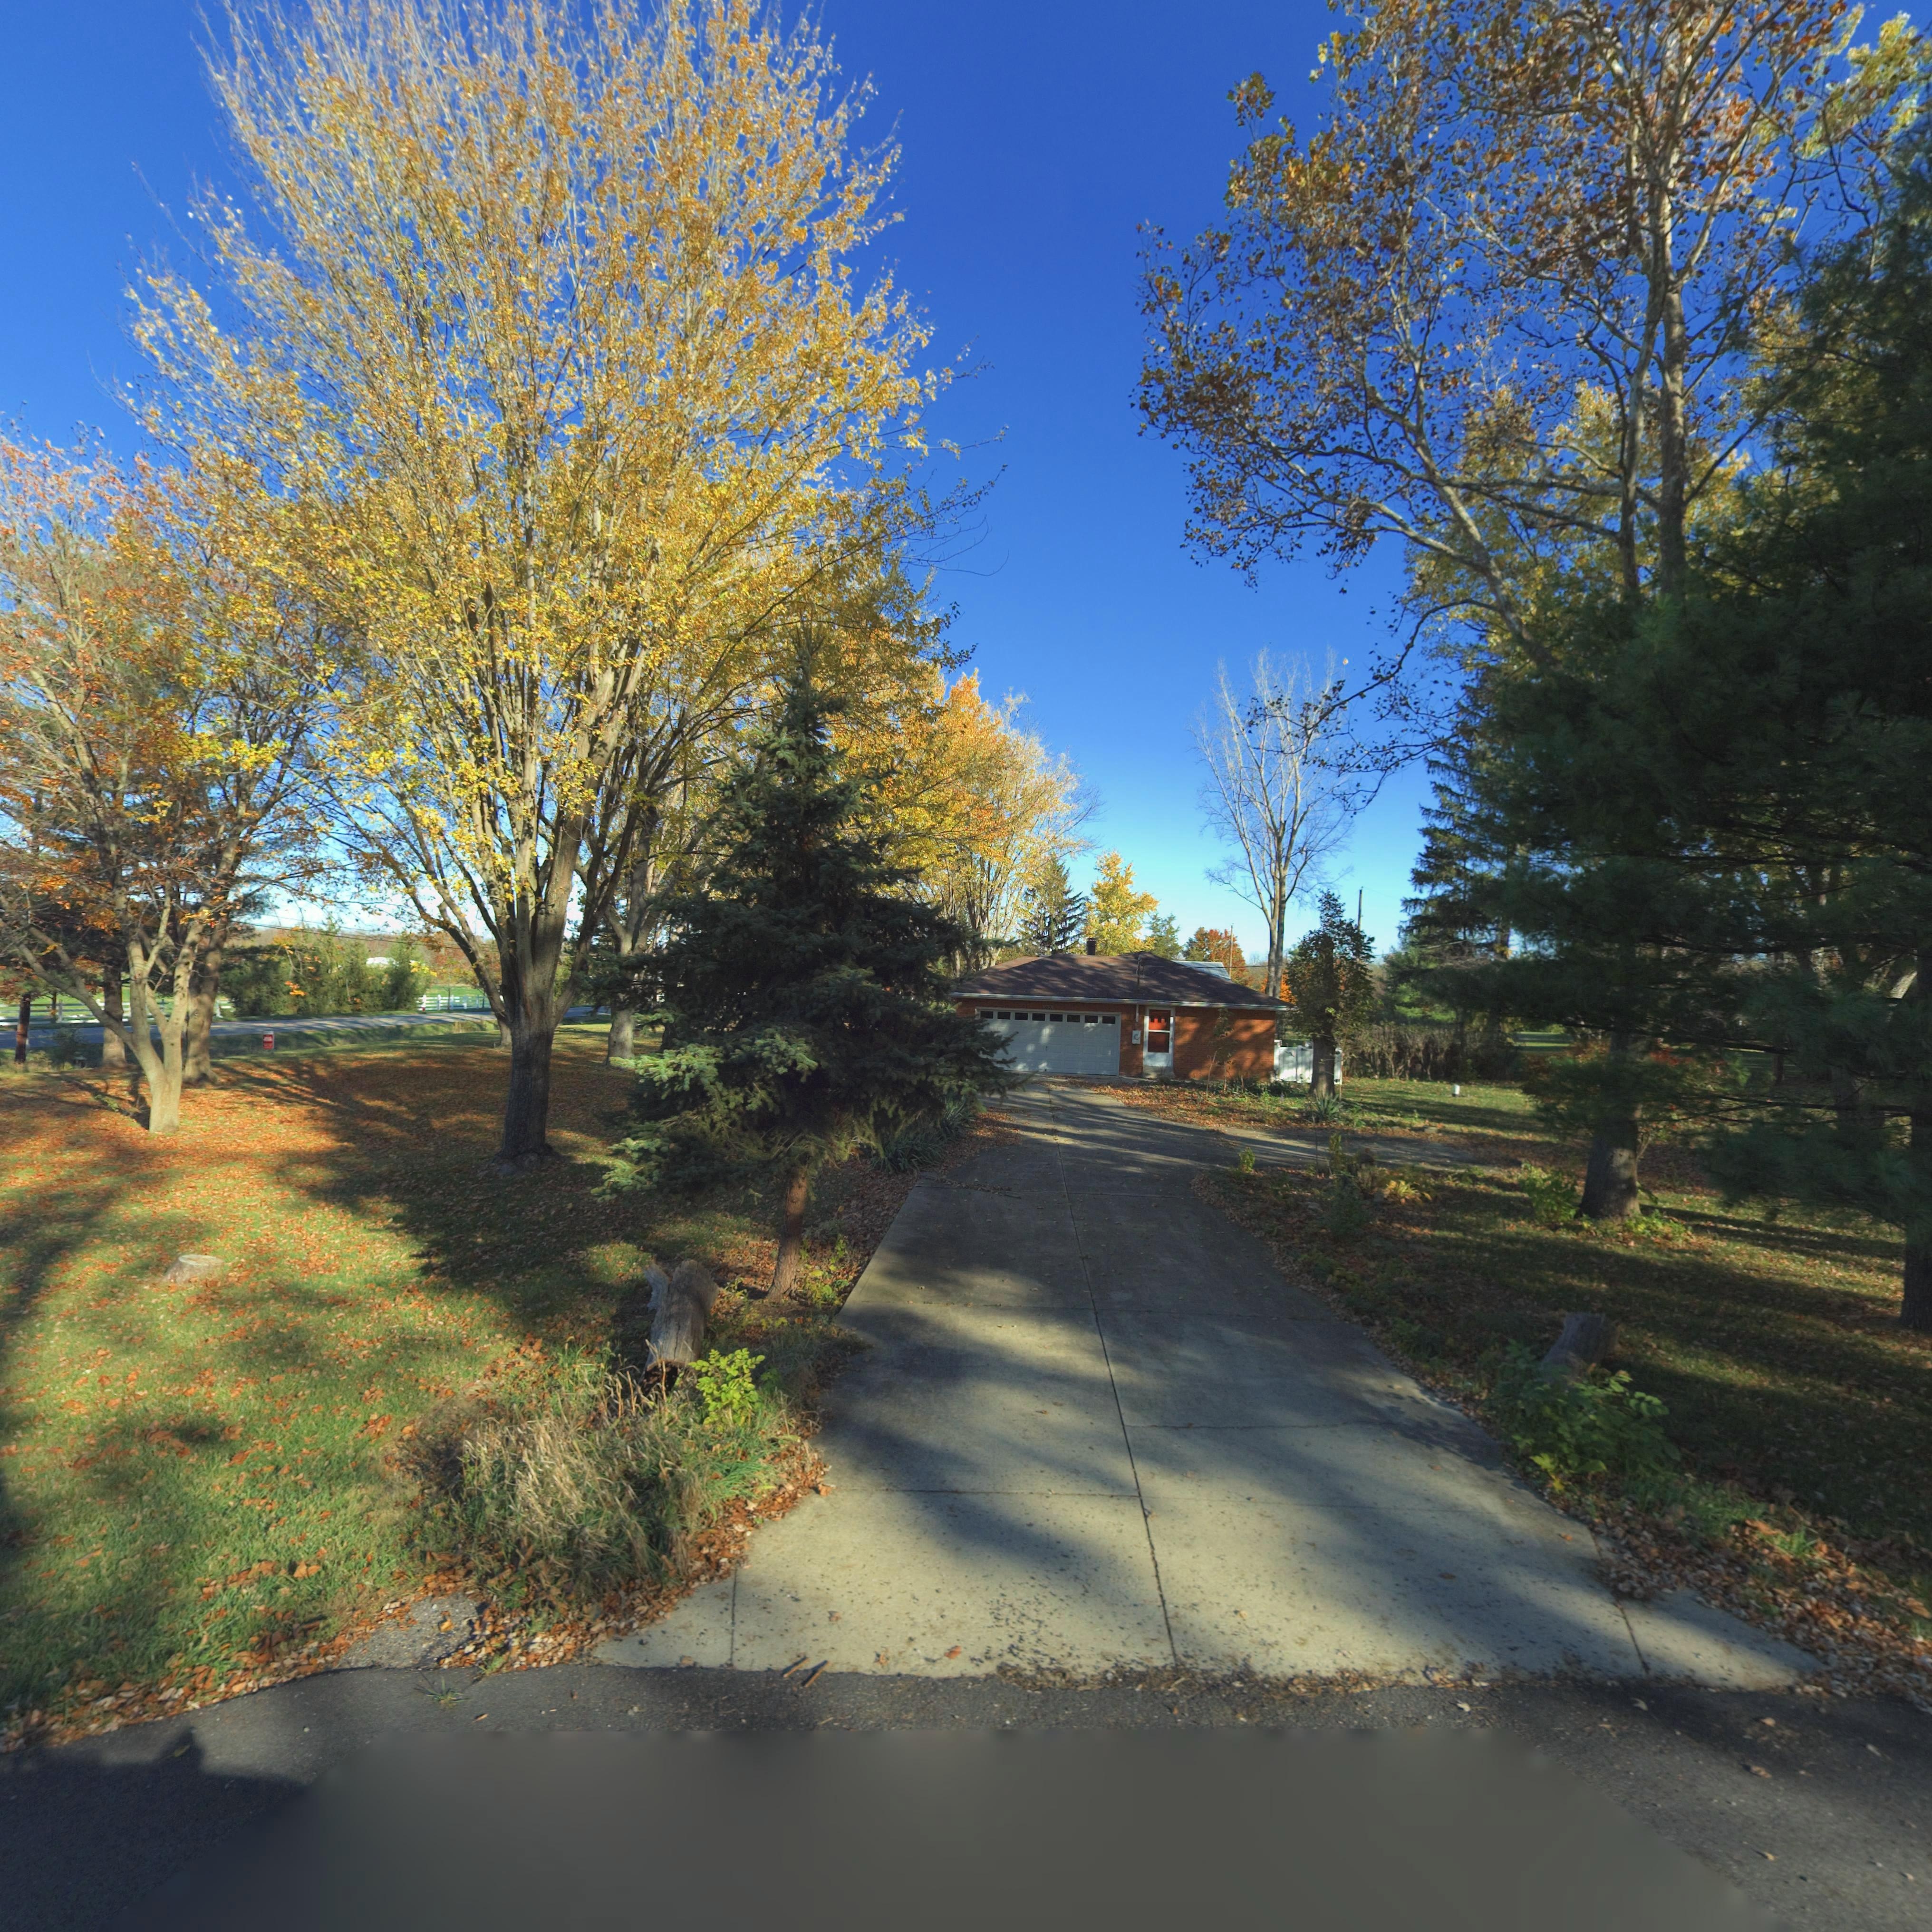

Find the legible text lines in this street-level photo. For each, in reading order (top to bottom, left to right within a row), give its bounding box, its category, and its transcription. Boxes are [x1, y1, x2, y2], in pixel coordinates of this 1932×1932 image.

[1043, 1005, 1053, 1011] StreetNumber: 1021